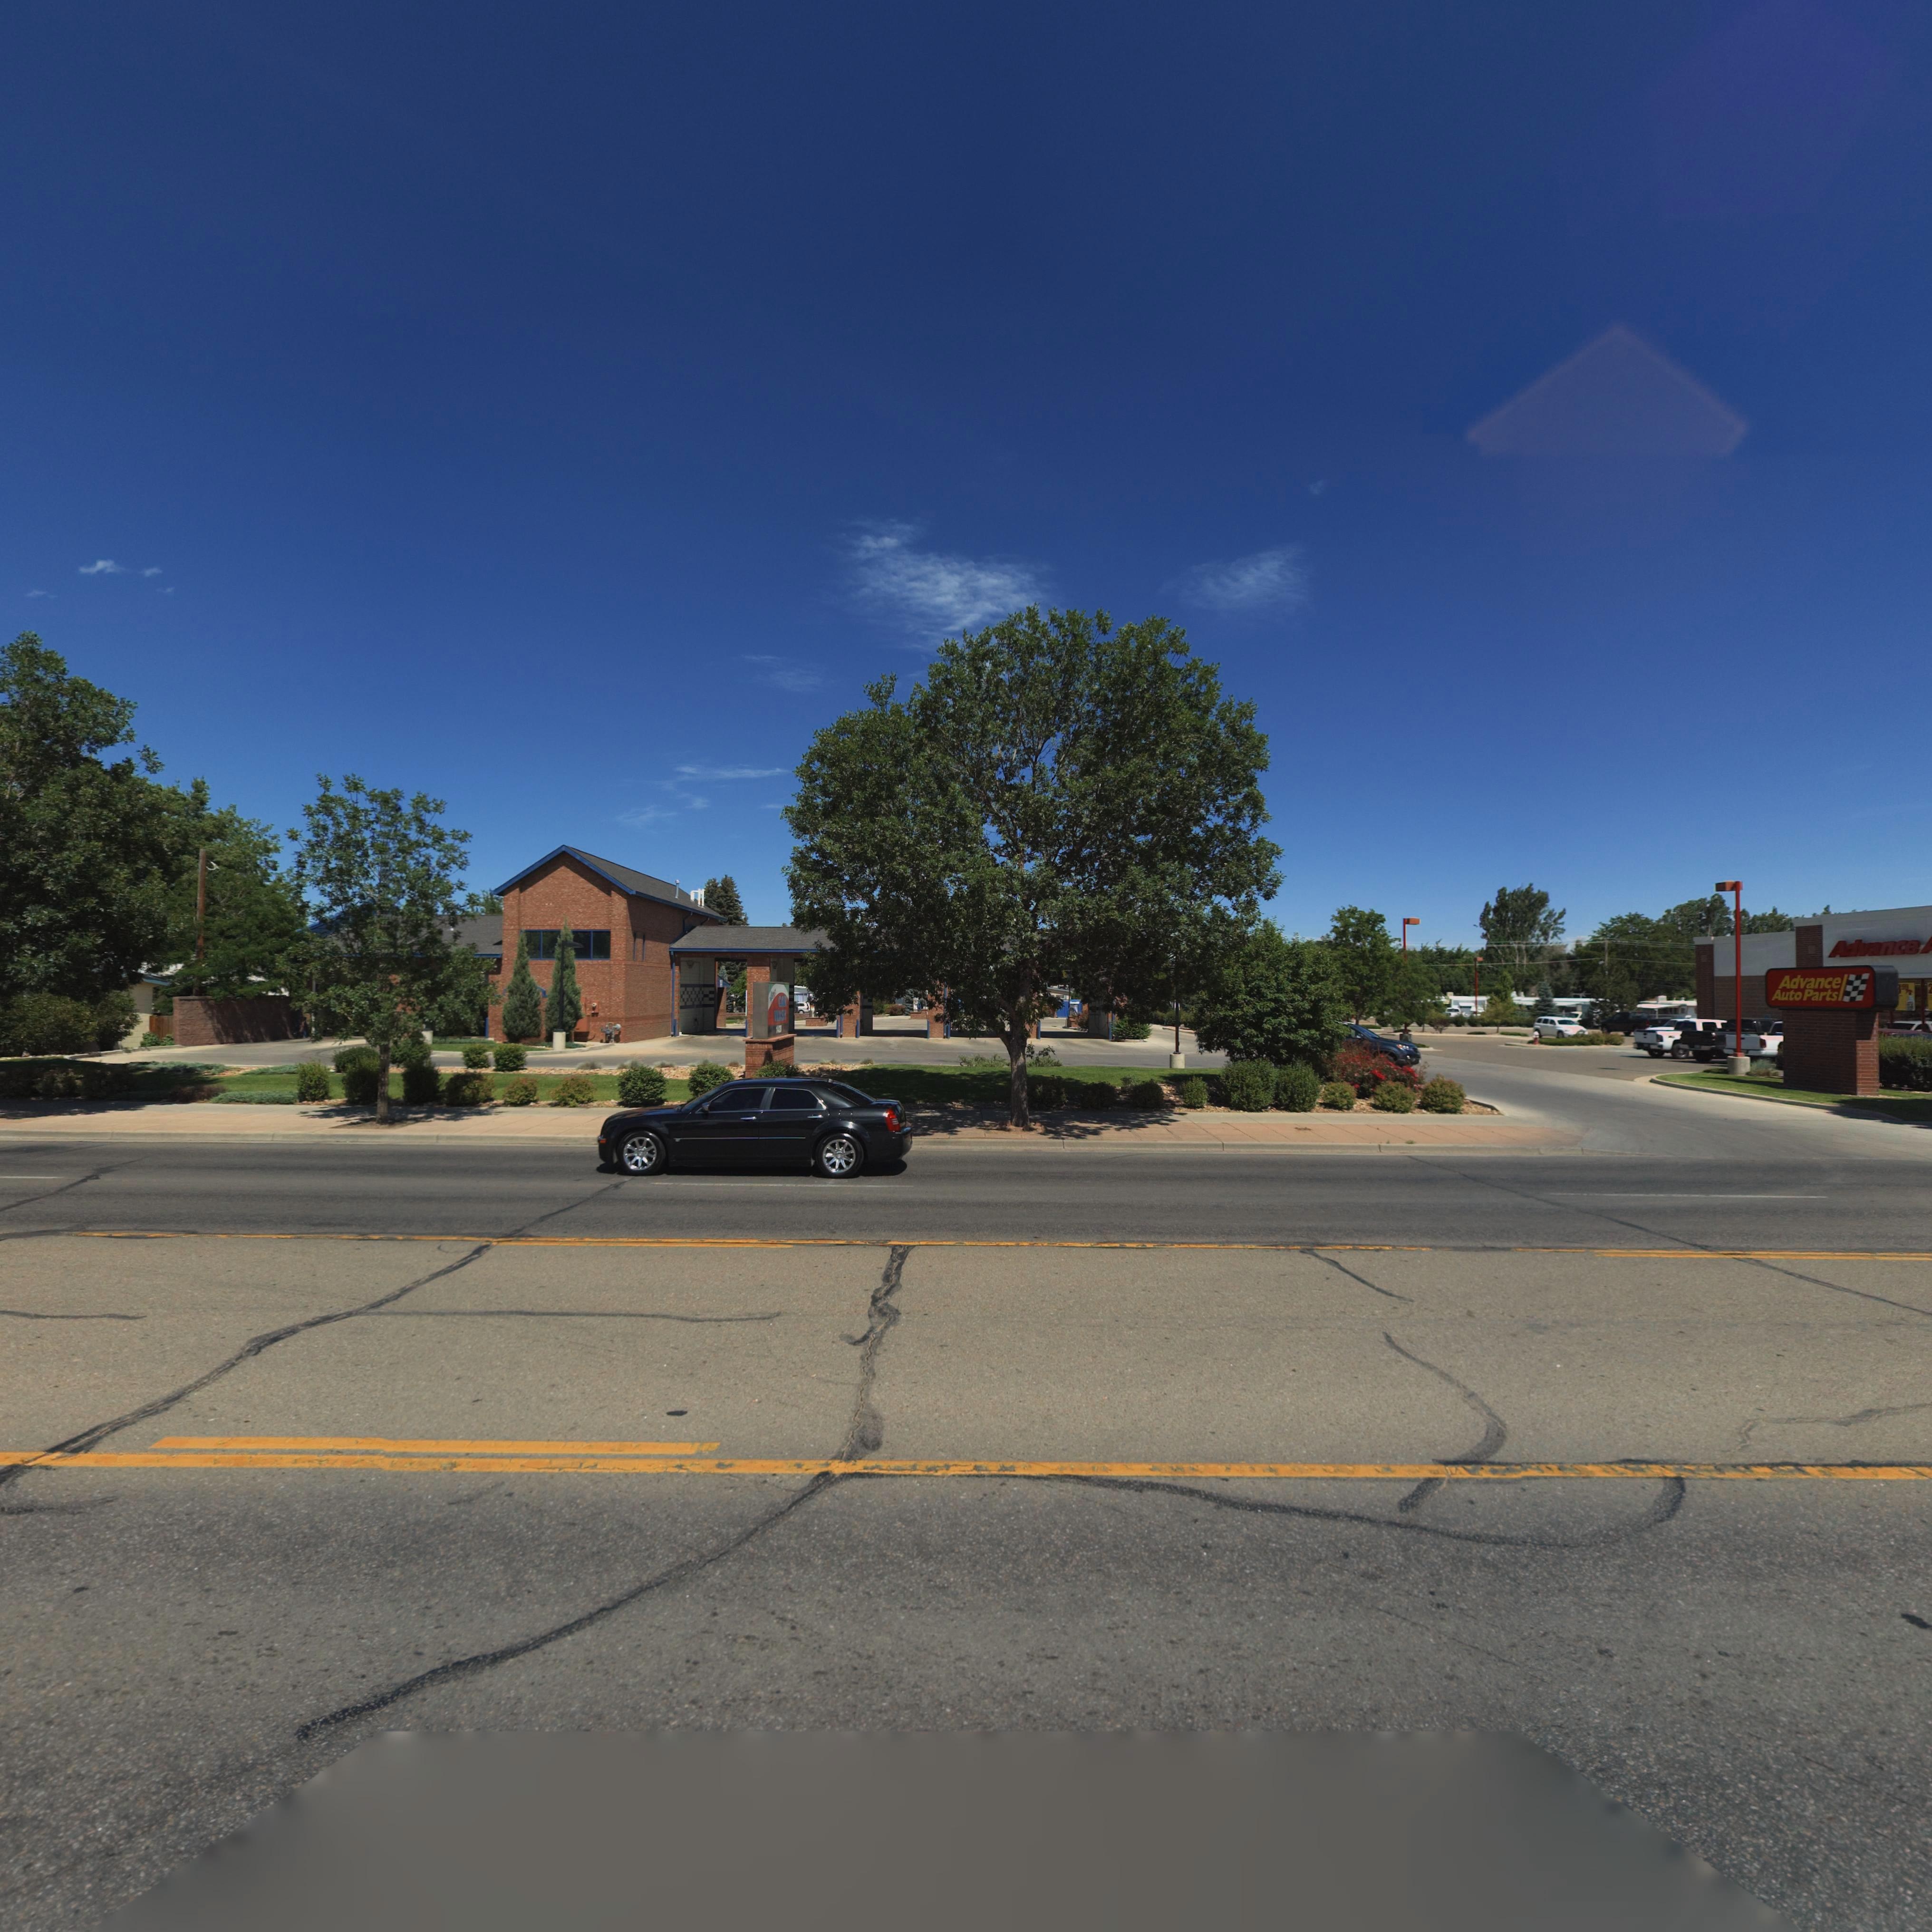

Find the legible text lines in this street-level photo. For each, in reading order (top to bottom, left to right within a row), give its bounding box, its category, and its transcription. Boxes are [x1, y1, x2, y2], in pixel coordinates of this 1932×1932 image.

[1827, 939, 1922, 958] BusinessName: Advance **** *****
[1777, 975, 1842, 989] BusinessName: Advance
[1770, 989, 1839, 1001] BusinessName: Auto Parts
[775, 1024, 782, 1034] StreetNumber: 1***